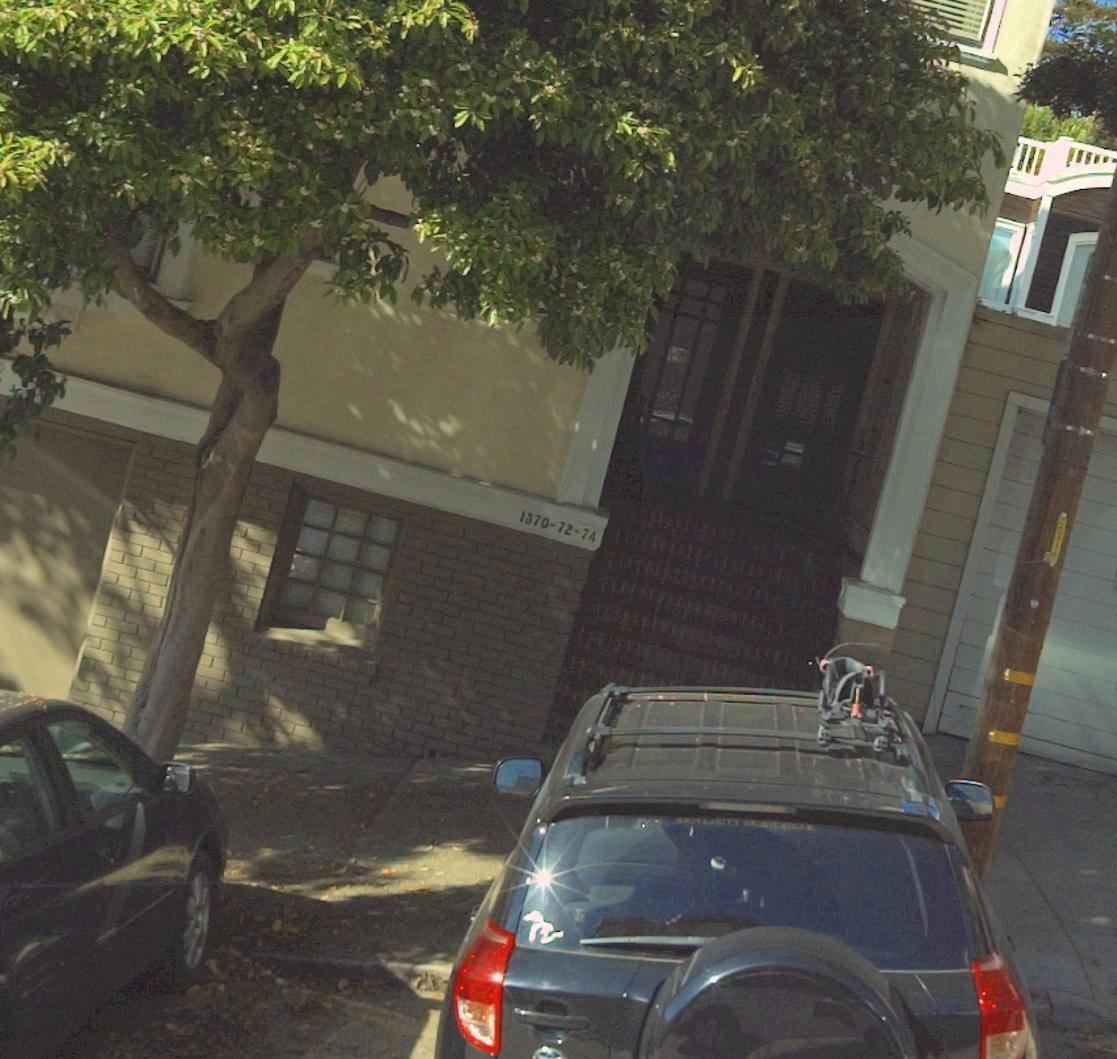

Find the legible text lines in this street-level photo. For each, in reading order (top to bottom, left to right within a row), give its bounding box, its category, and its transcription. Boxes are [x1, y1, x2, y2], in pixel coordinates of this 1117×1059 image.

[517, 508, 598, 545] StreetNumber: 1370-72-74